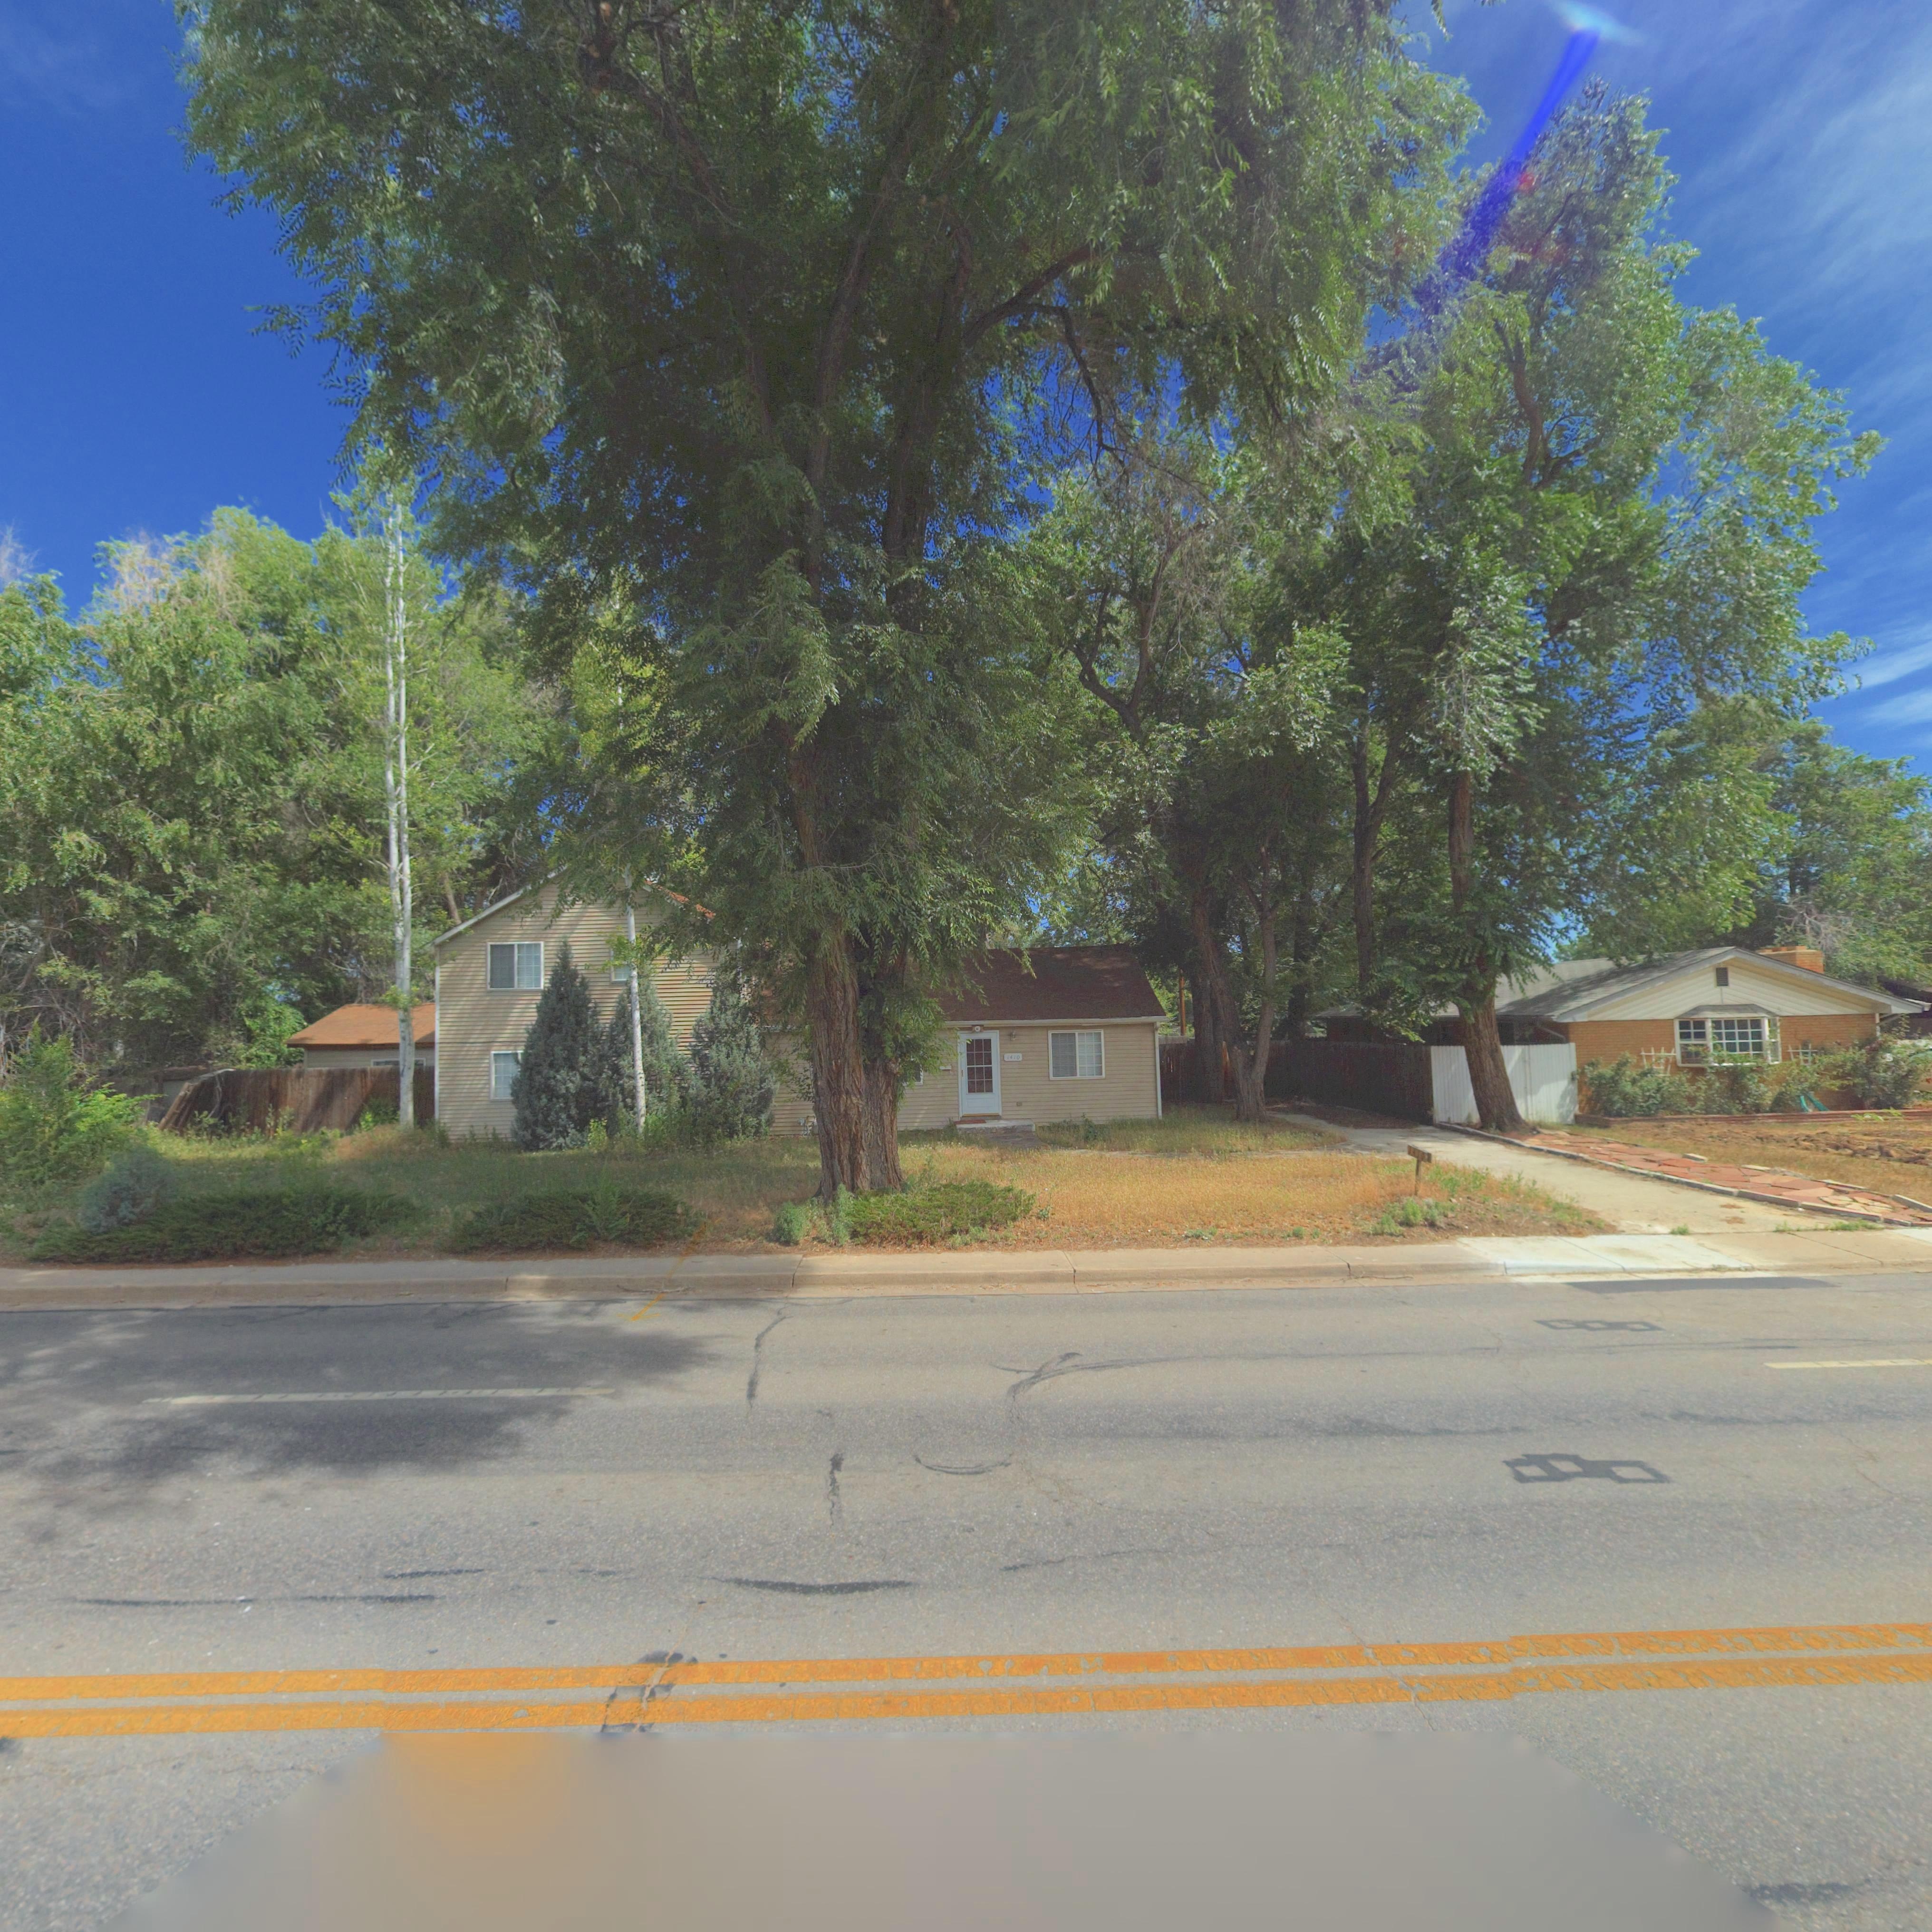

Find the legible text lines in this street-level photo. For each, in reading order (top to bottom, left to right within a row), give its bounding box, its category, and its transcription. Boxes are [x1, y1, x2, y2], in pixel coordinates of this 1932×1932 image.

[1007, 1054, 1020, 1060] StreetNumber: 1410
[1409, 1146, 1426, 1161] StreetNumber: 1410